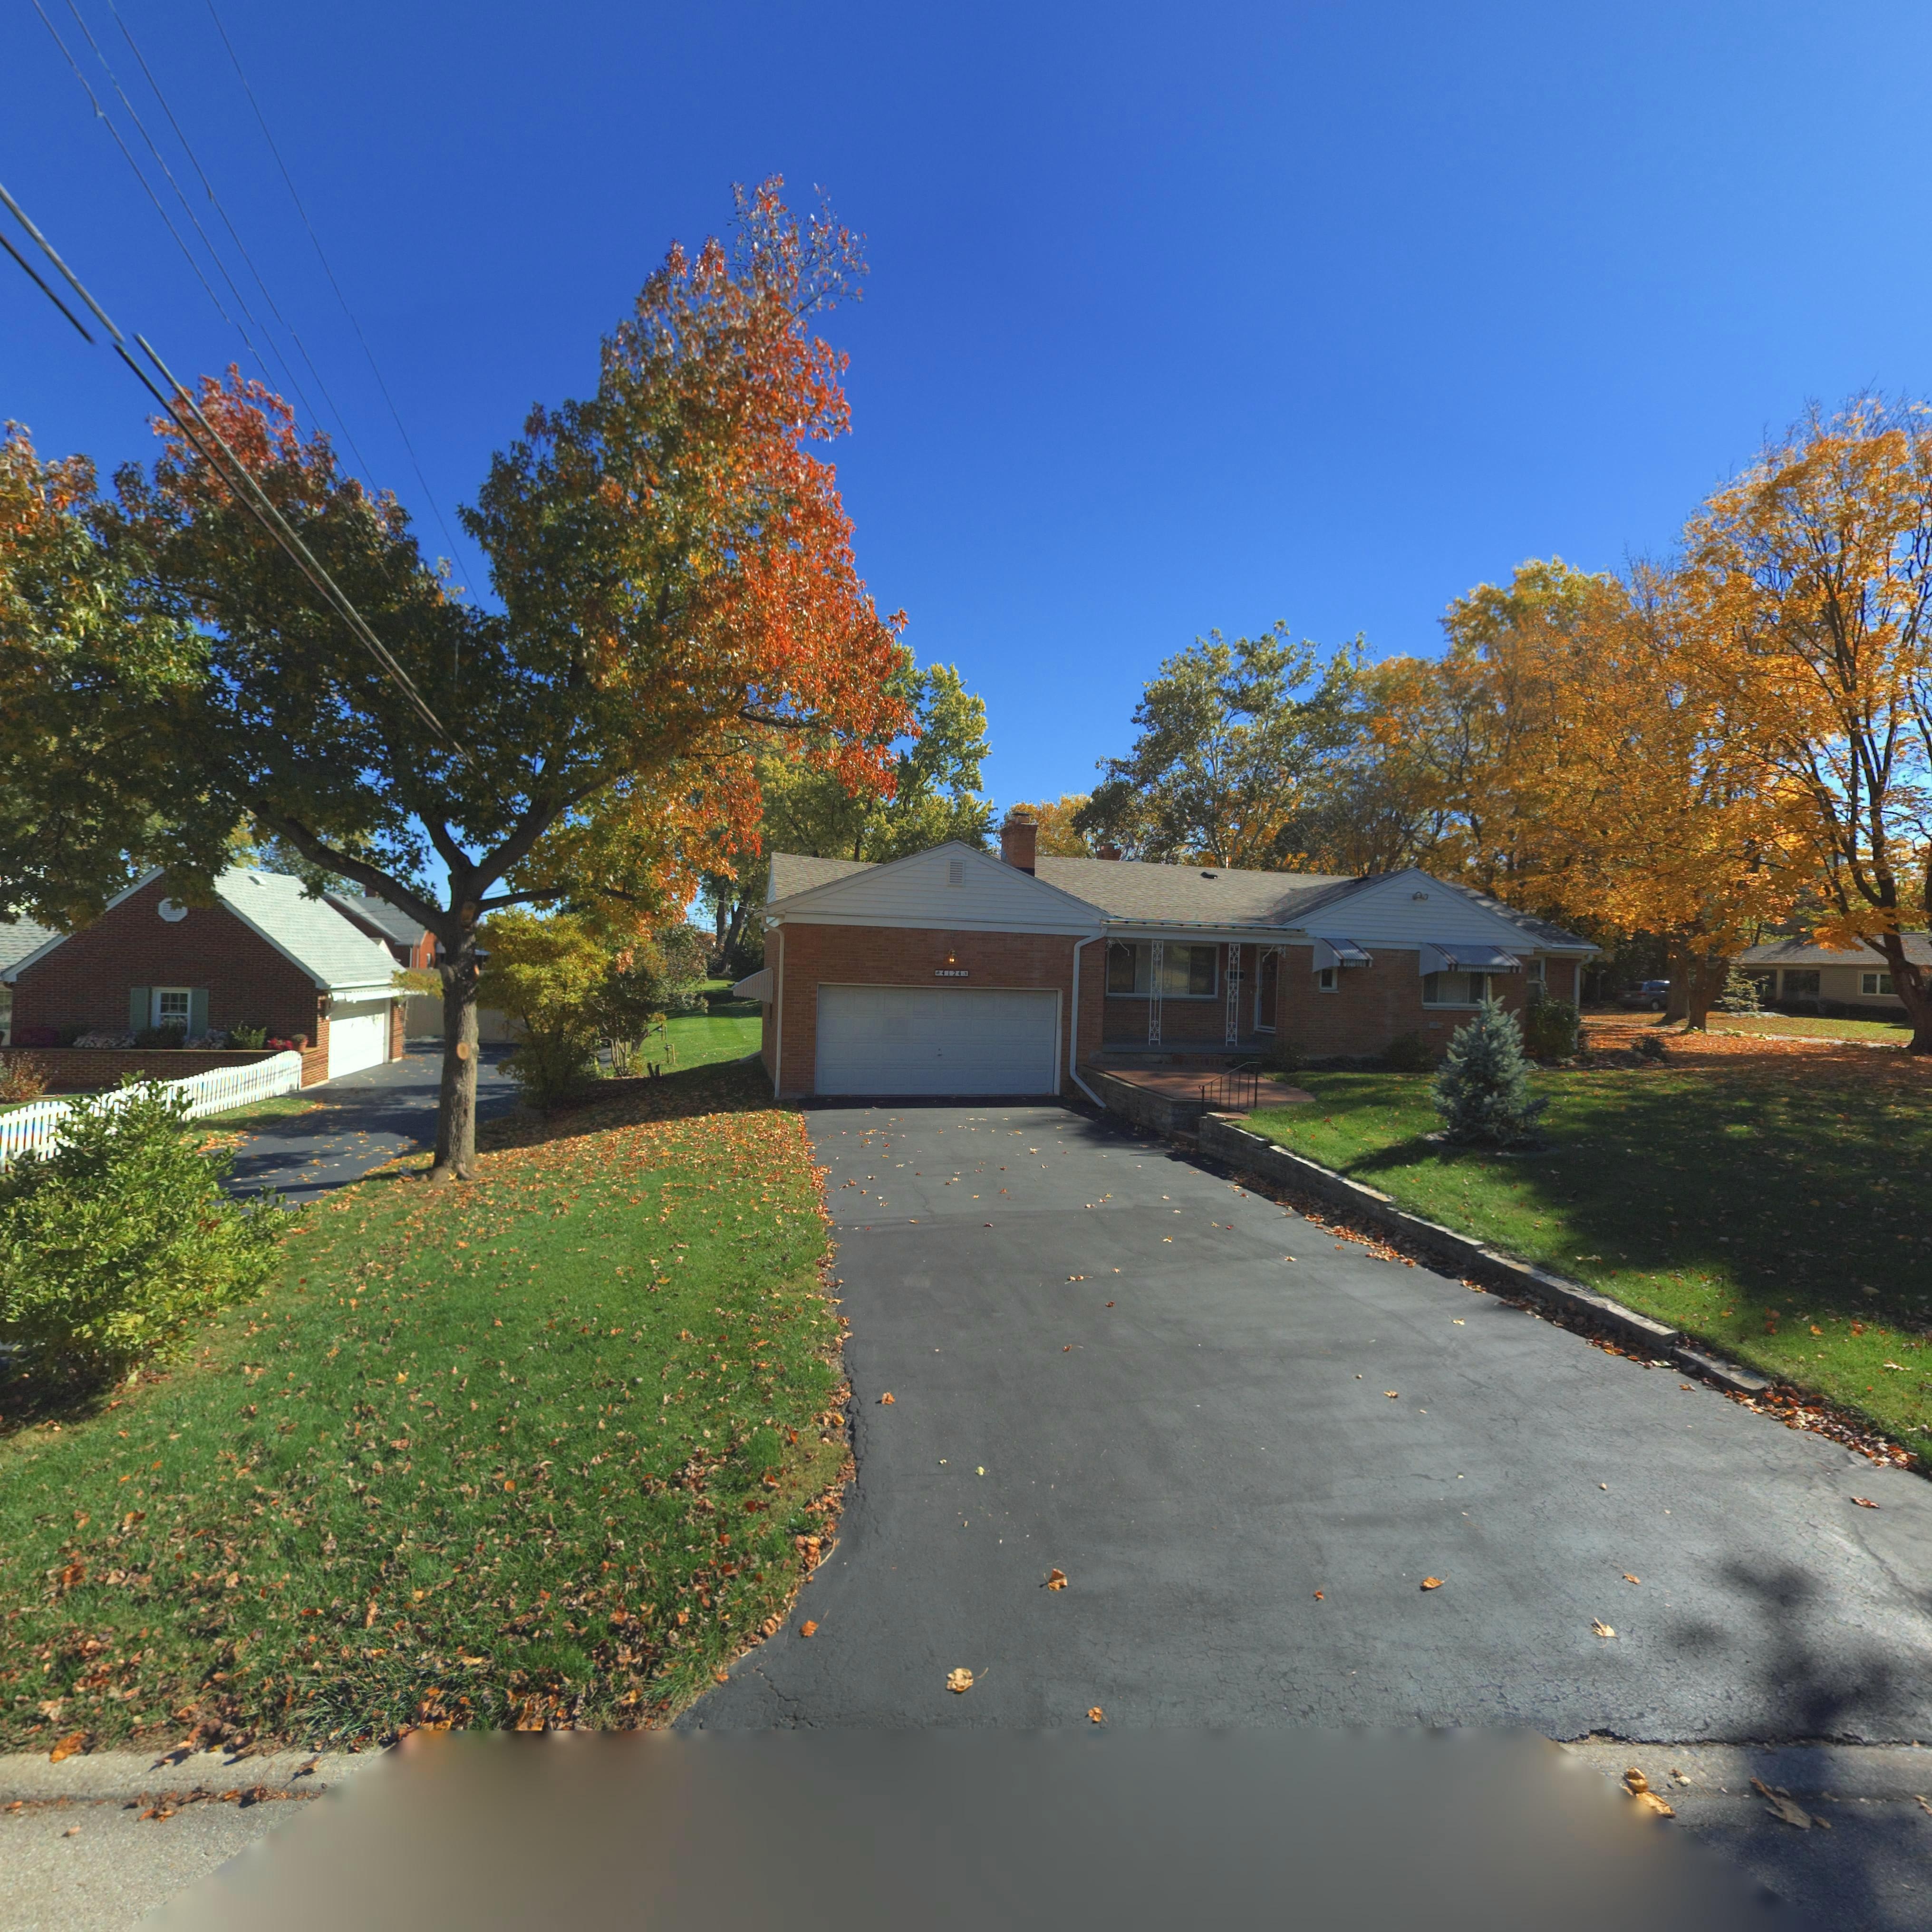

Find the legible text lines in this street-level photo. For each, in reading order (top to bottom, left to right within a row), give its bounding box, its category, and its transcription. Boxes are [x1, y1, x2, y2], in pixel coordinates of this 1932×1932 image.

[940, 970, 962, 976] StreetNumber: 4124